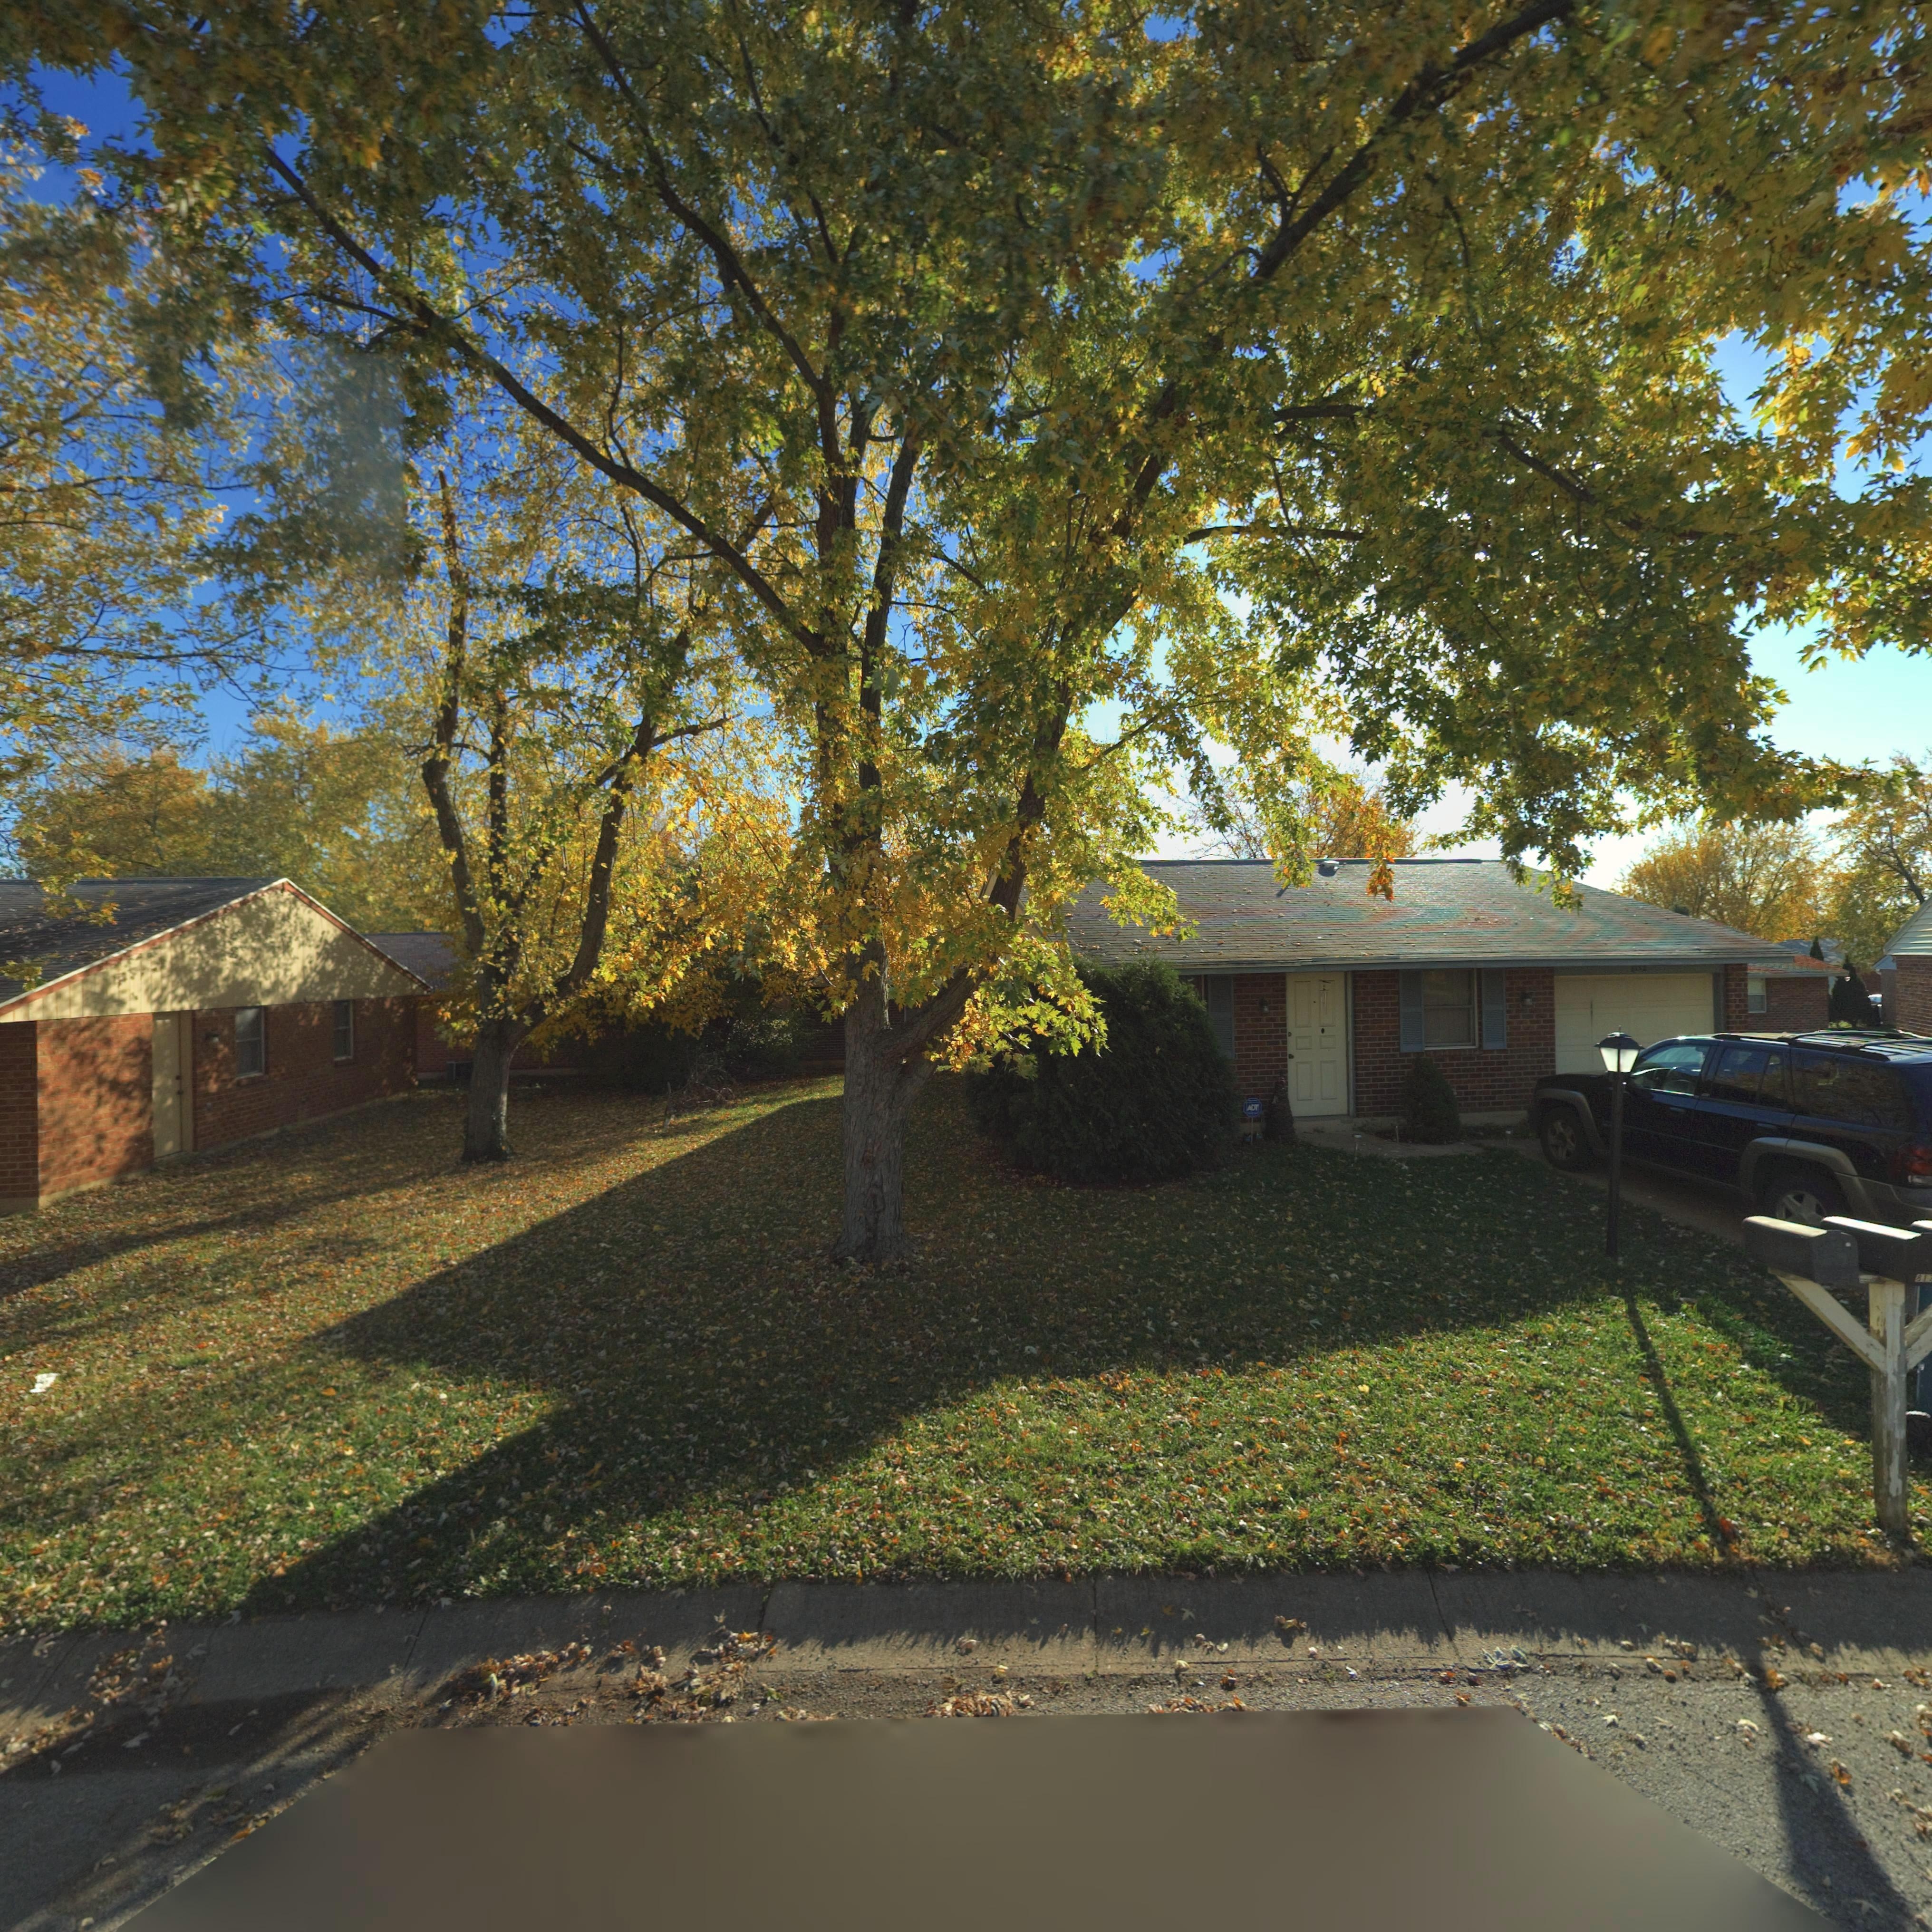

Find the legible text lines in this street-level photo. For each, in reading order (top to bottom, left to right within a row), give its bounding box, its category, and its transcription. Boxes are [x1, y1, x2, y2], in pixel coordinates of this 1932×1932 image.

[1915, 1273, 1928, 1284] StreetNumber: *1